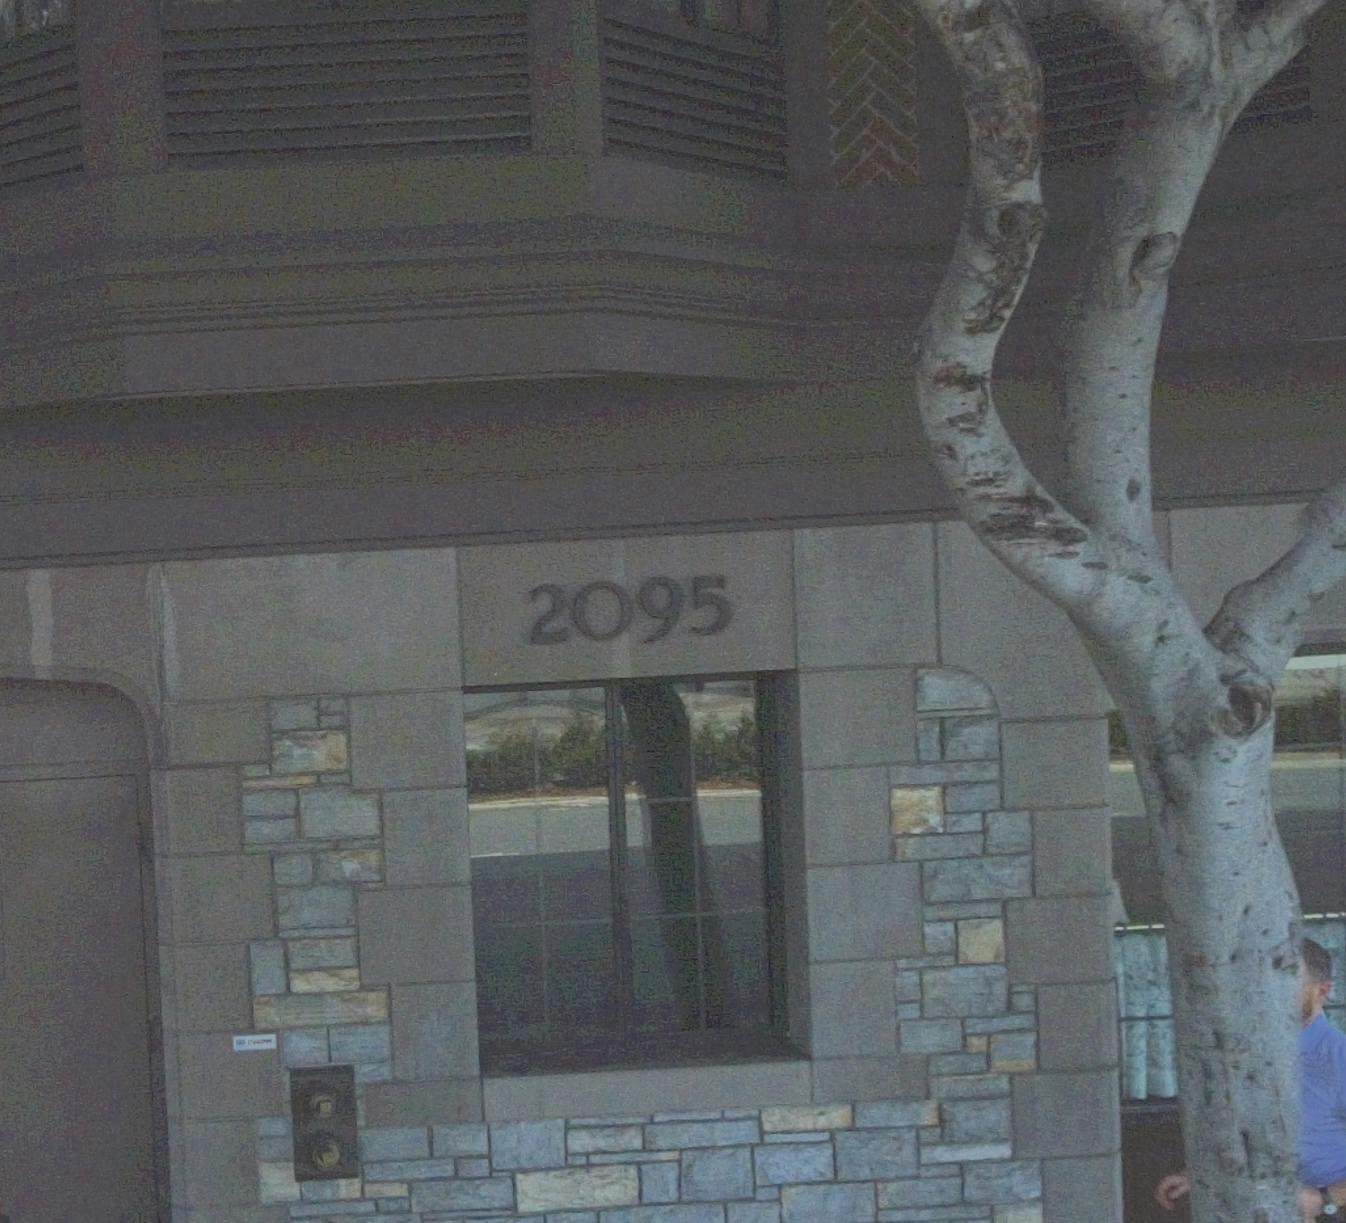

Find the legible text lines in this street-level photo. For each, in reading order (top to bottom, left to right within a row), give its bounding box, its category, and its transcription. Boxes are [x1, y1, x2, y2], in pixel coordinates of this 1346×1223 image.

[525, 567, 737, 651] StreetNumber: 2095